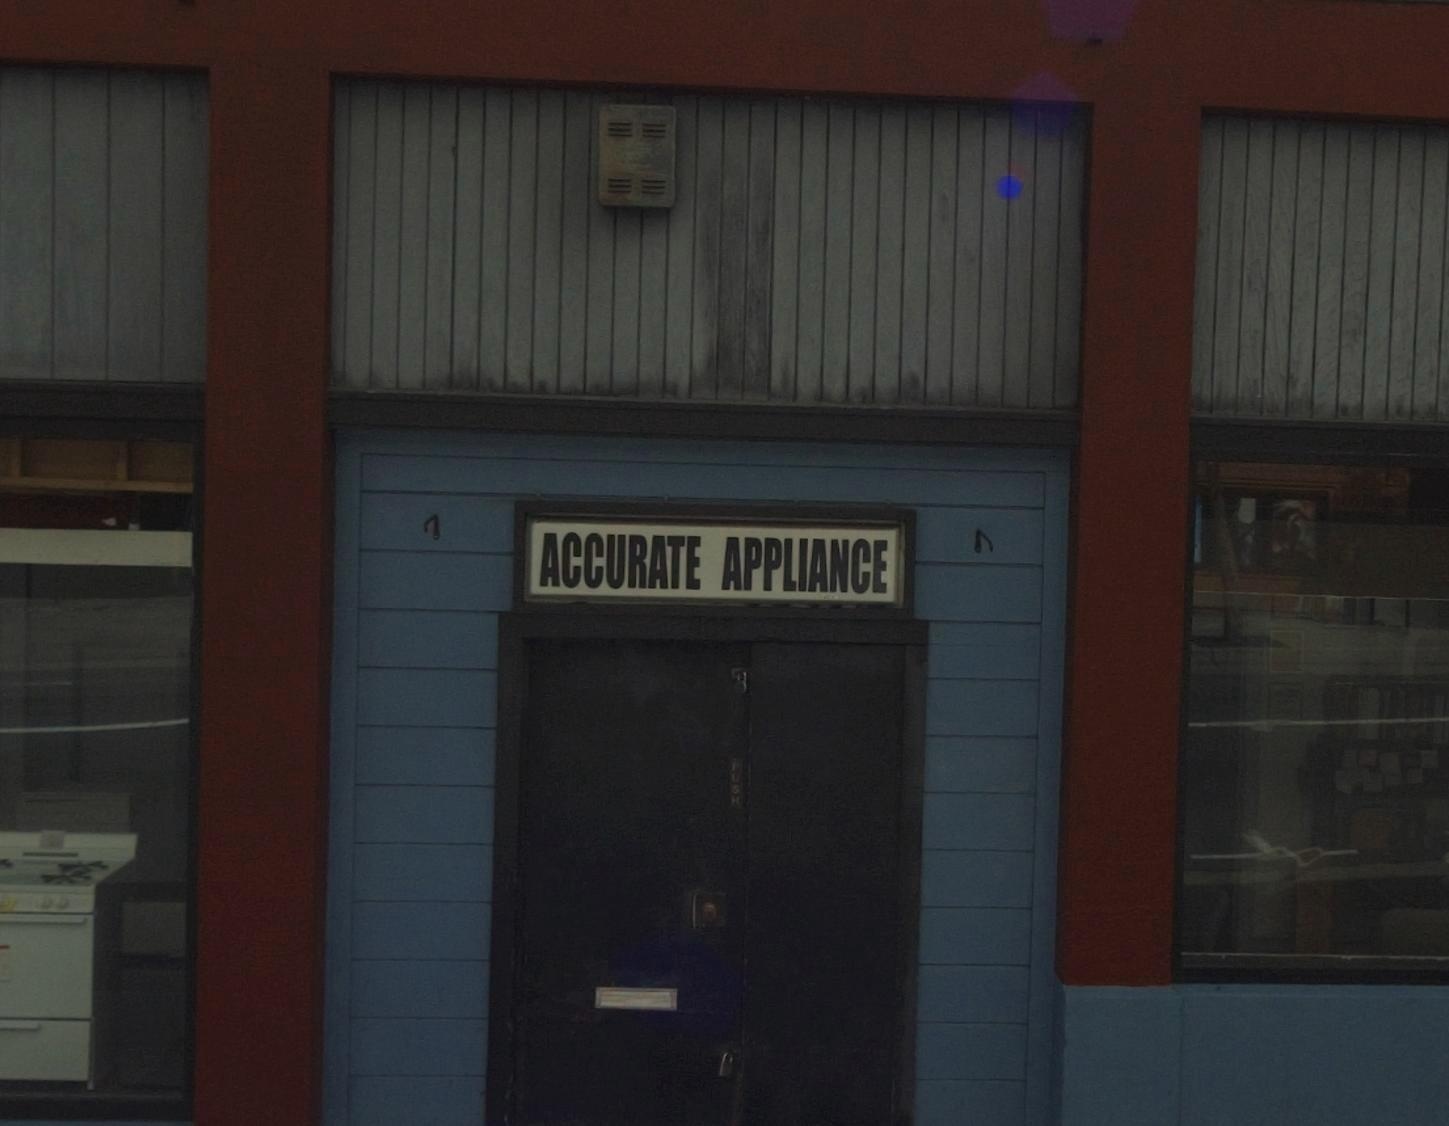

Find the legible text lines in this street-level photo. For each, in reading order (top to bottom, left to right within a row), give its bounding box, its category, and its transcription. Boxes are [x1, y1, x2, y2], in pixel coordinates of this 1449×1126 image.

[537, 531, 890, 596] BusinessName: ACCURATE APPLIANCE
[729, 759, 743, 808] None: PUSH